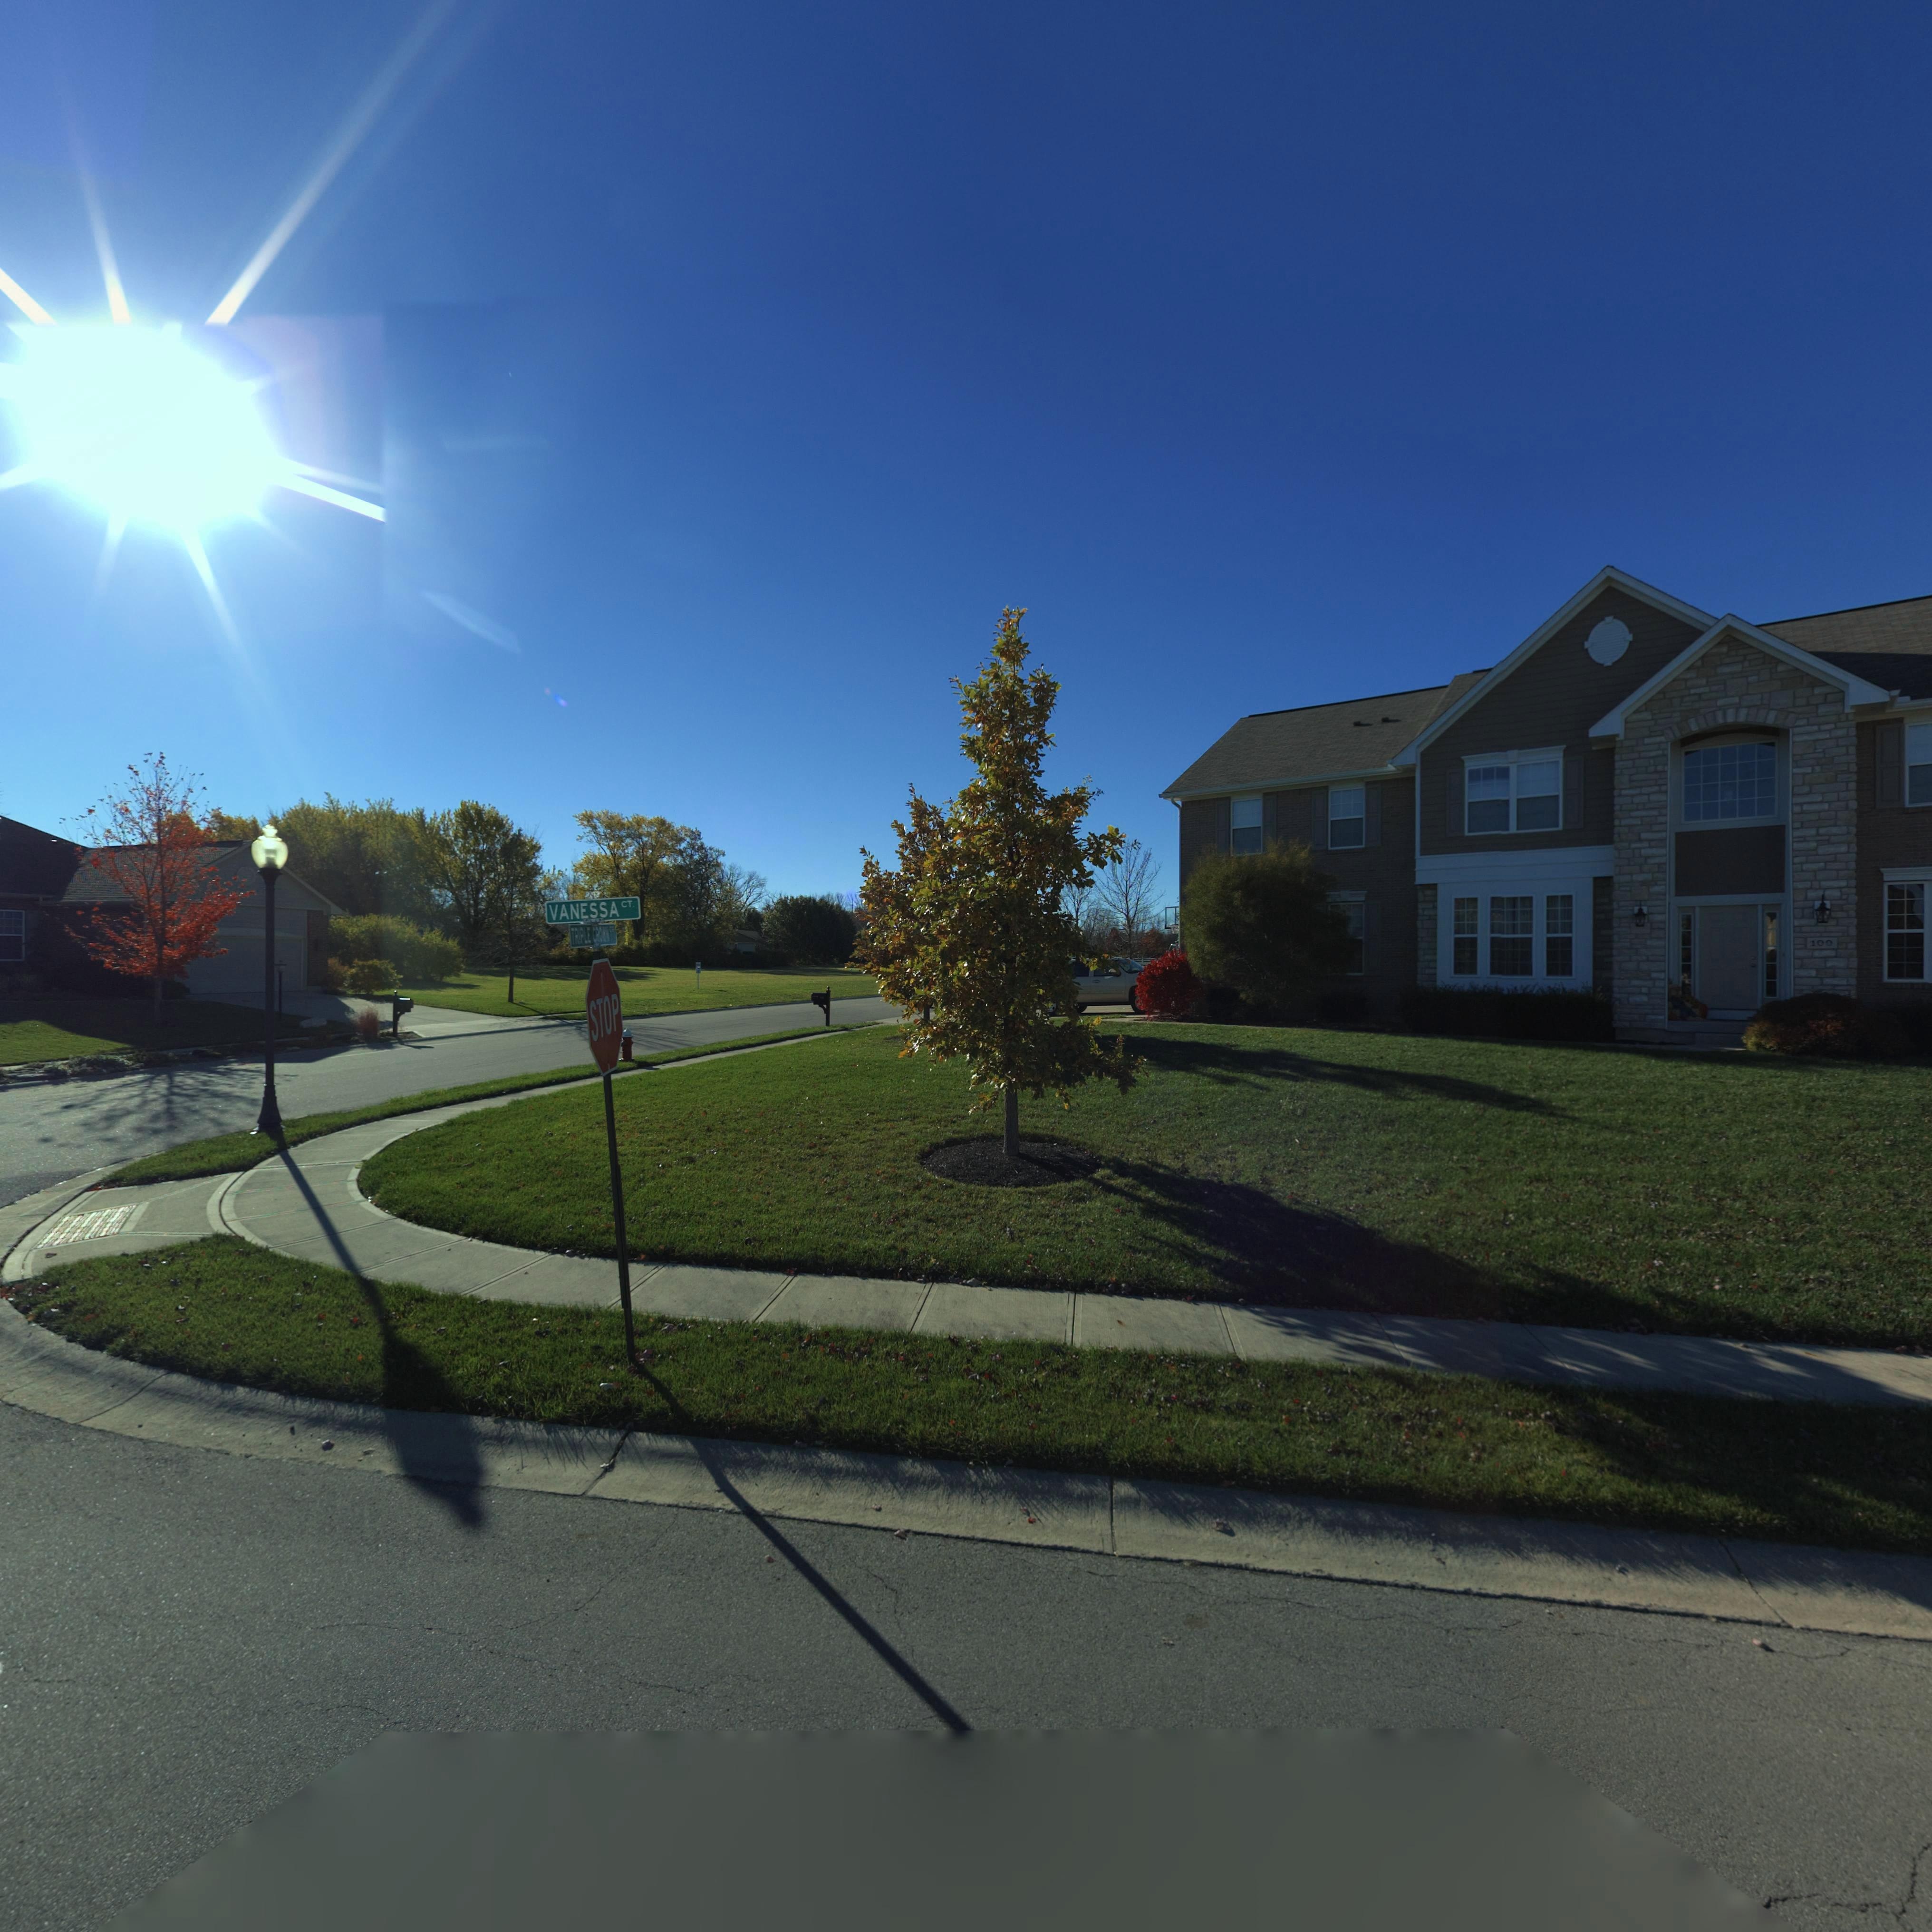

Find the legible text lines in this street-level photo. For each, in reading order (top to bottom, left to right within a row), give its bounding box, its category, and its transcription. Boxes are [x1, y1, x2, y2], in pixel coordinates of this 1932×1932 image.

[545, 898, 637, 920] None: VANESSA CT.
[571, 926, 612, 949] None: TRIPLE *****
[1811, 938, 1834, 947] StreetNumber: 100
[587, 988, 621, 1046] None: STOP